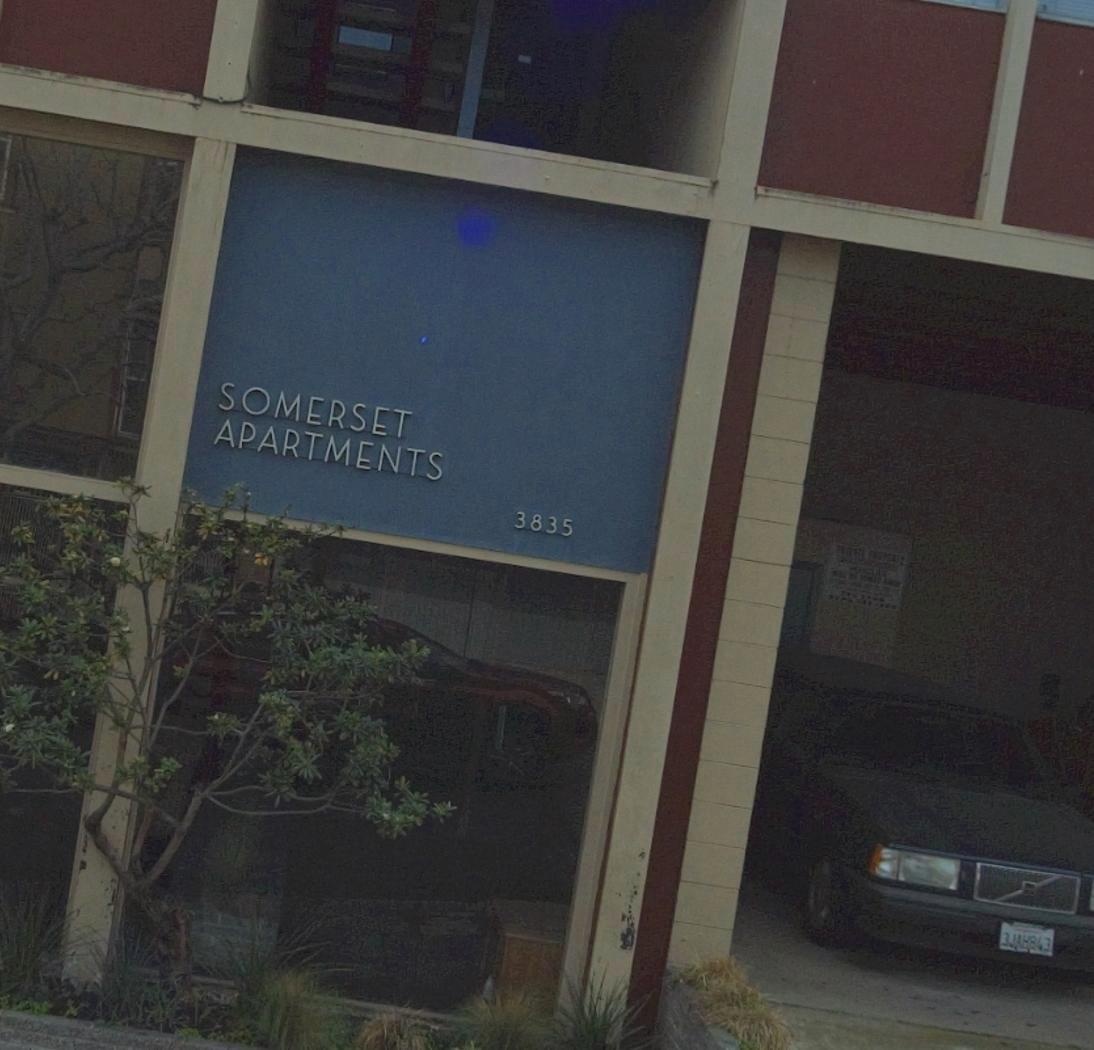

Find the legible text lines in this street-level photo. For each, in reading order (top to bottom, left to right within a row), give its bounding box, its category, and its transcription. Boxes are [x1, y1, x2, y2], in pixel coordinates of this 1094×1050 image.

[217, 379, 417, 440] BusinessName: SOMERSET
[211, 416, 449, 482] BusinessName: APARTMENTS
[514, 510, 576, 539] StreetNumber: 3835
[1001, 930, 1054, 953] None: 3JAH843